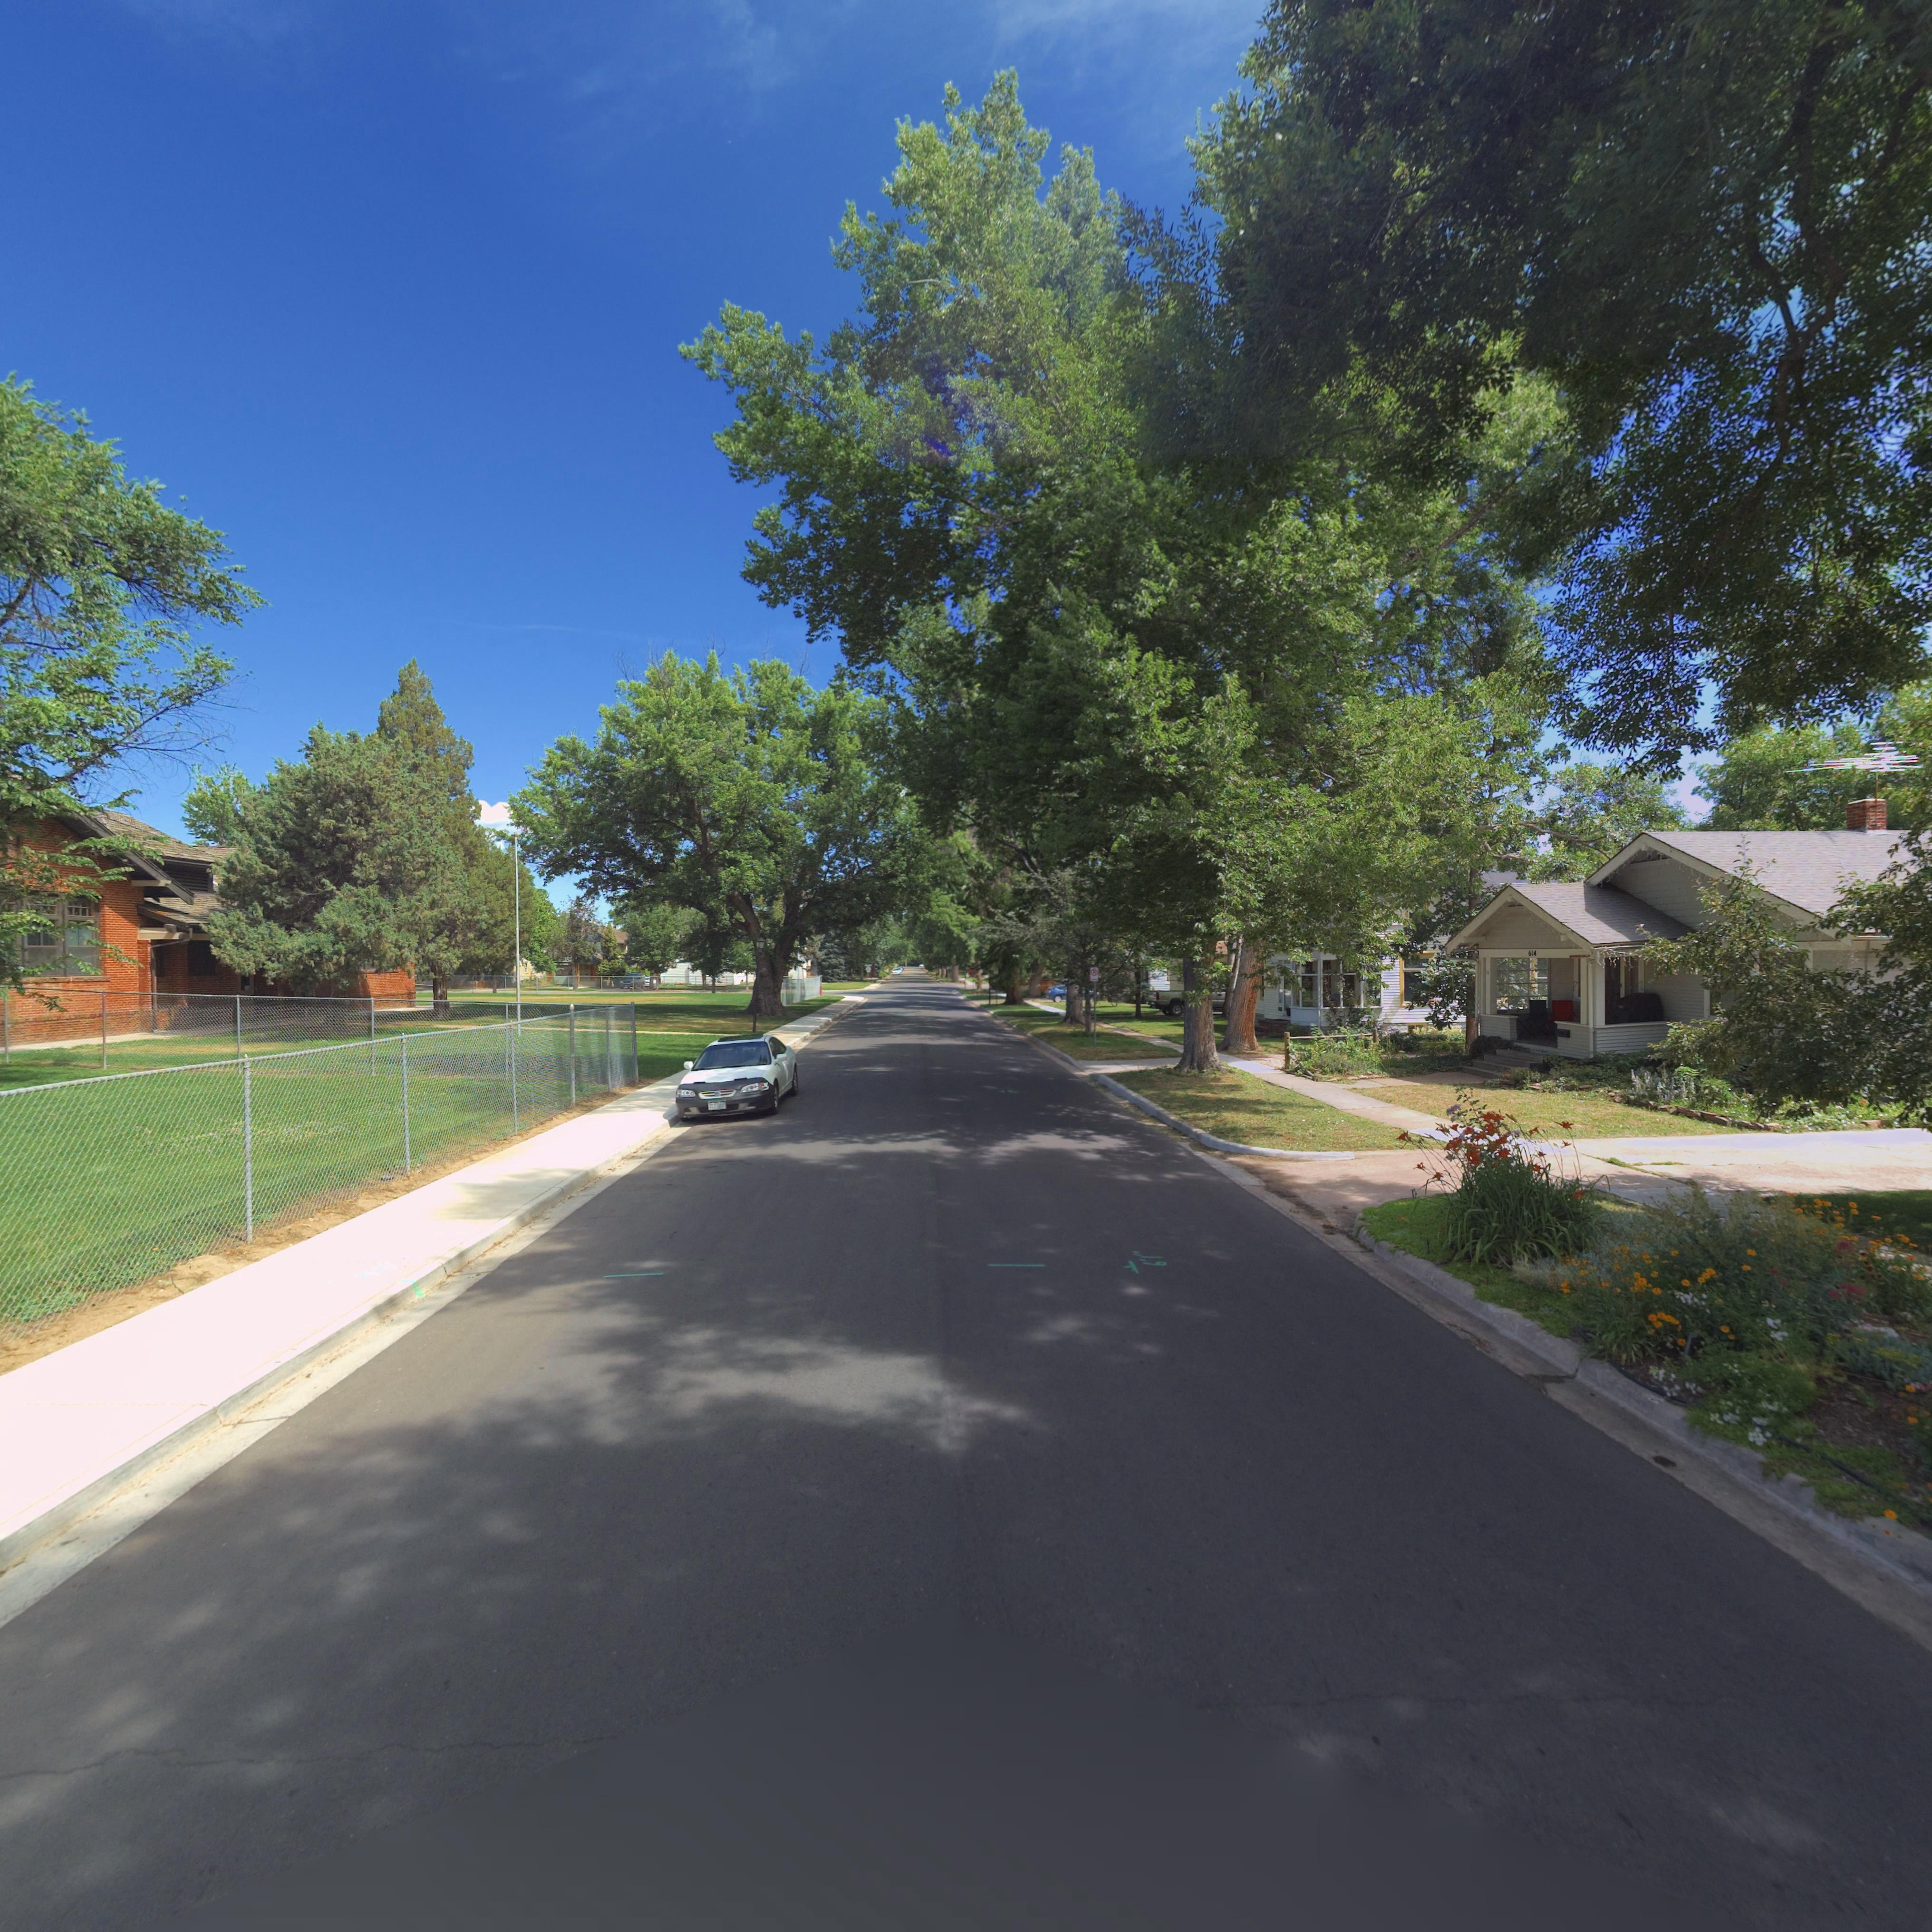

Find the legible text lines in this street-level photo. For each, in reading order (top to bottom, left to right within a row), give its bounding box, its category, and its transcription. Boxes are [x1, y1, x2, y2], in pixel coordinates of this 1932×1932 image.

[1527, 949, 1536, 956] StreetNumber: 614